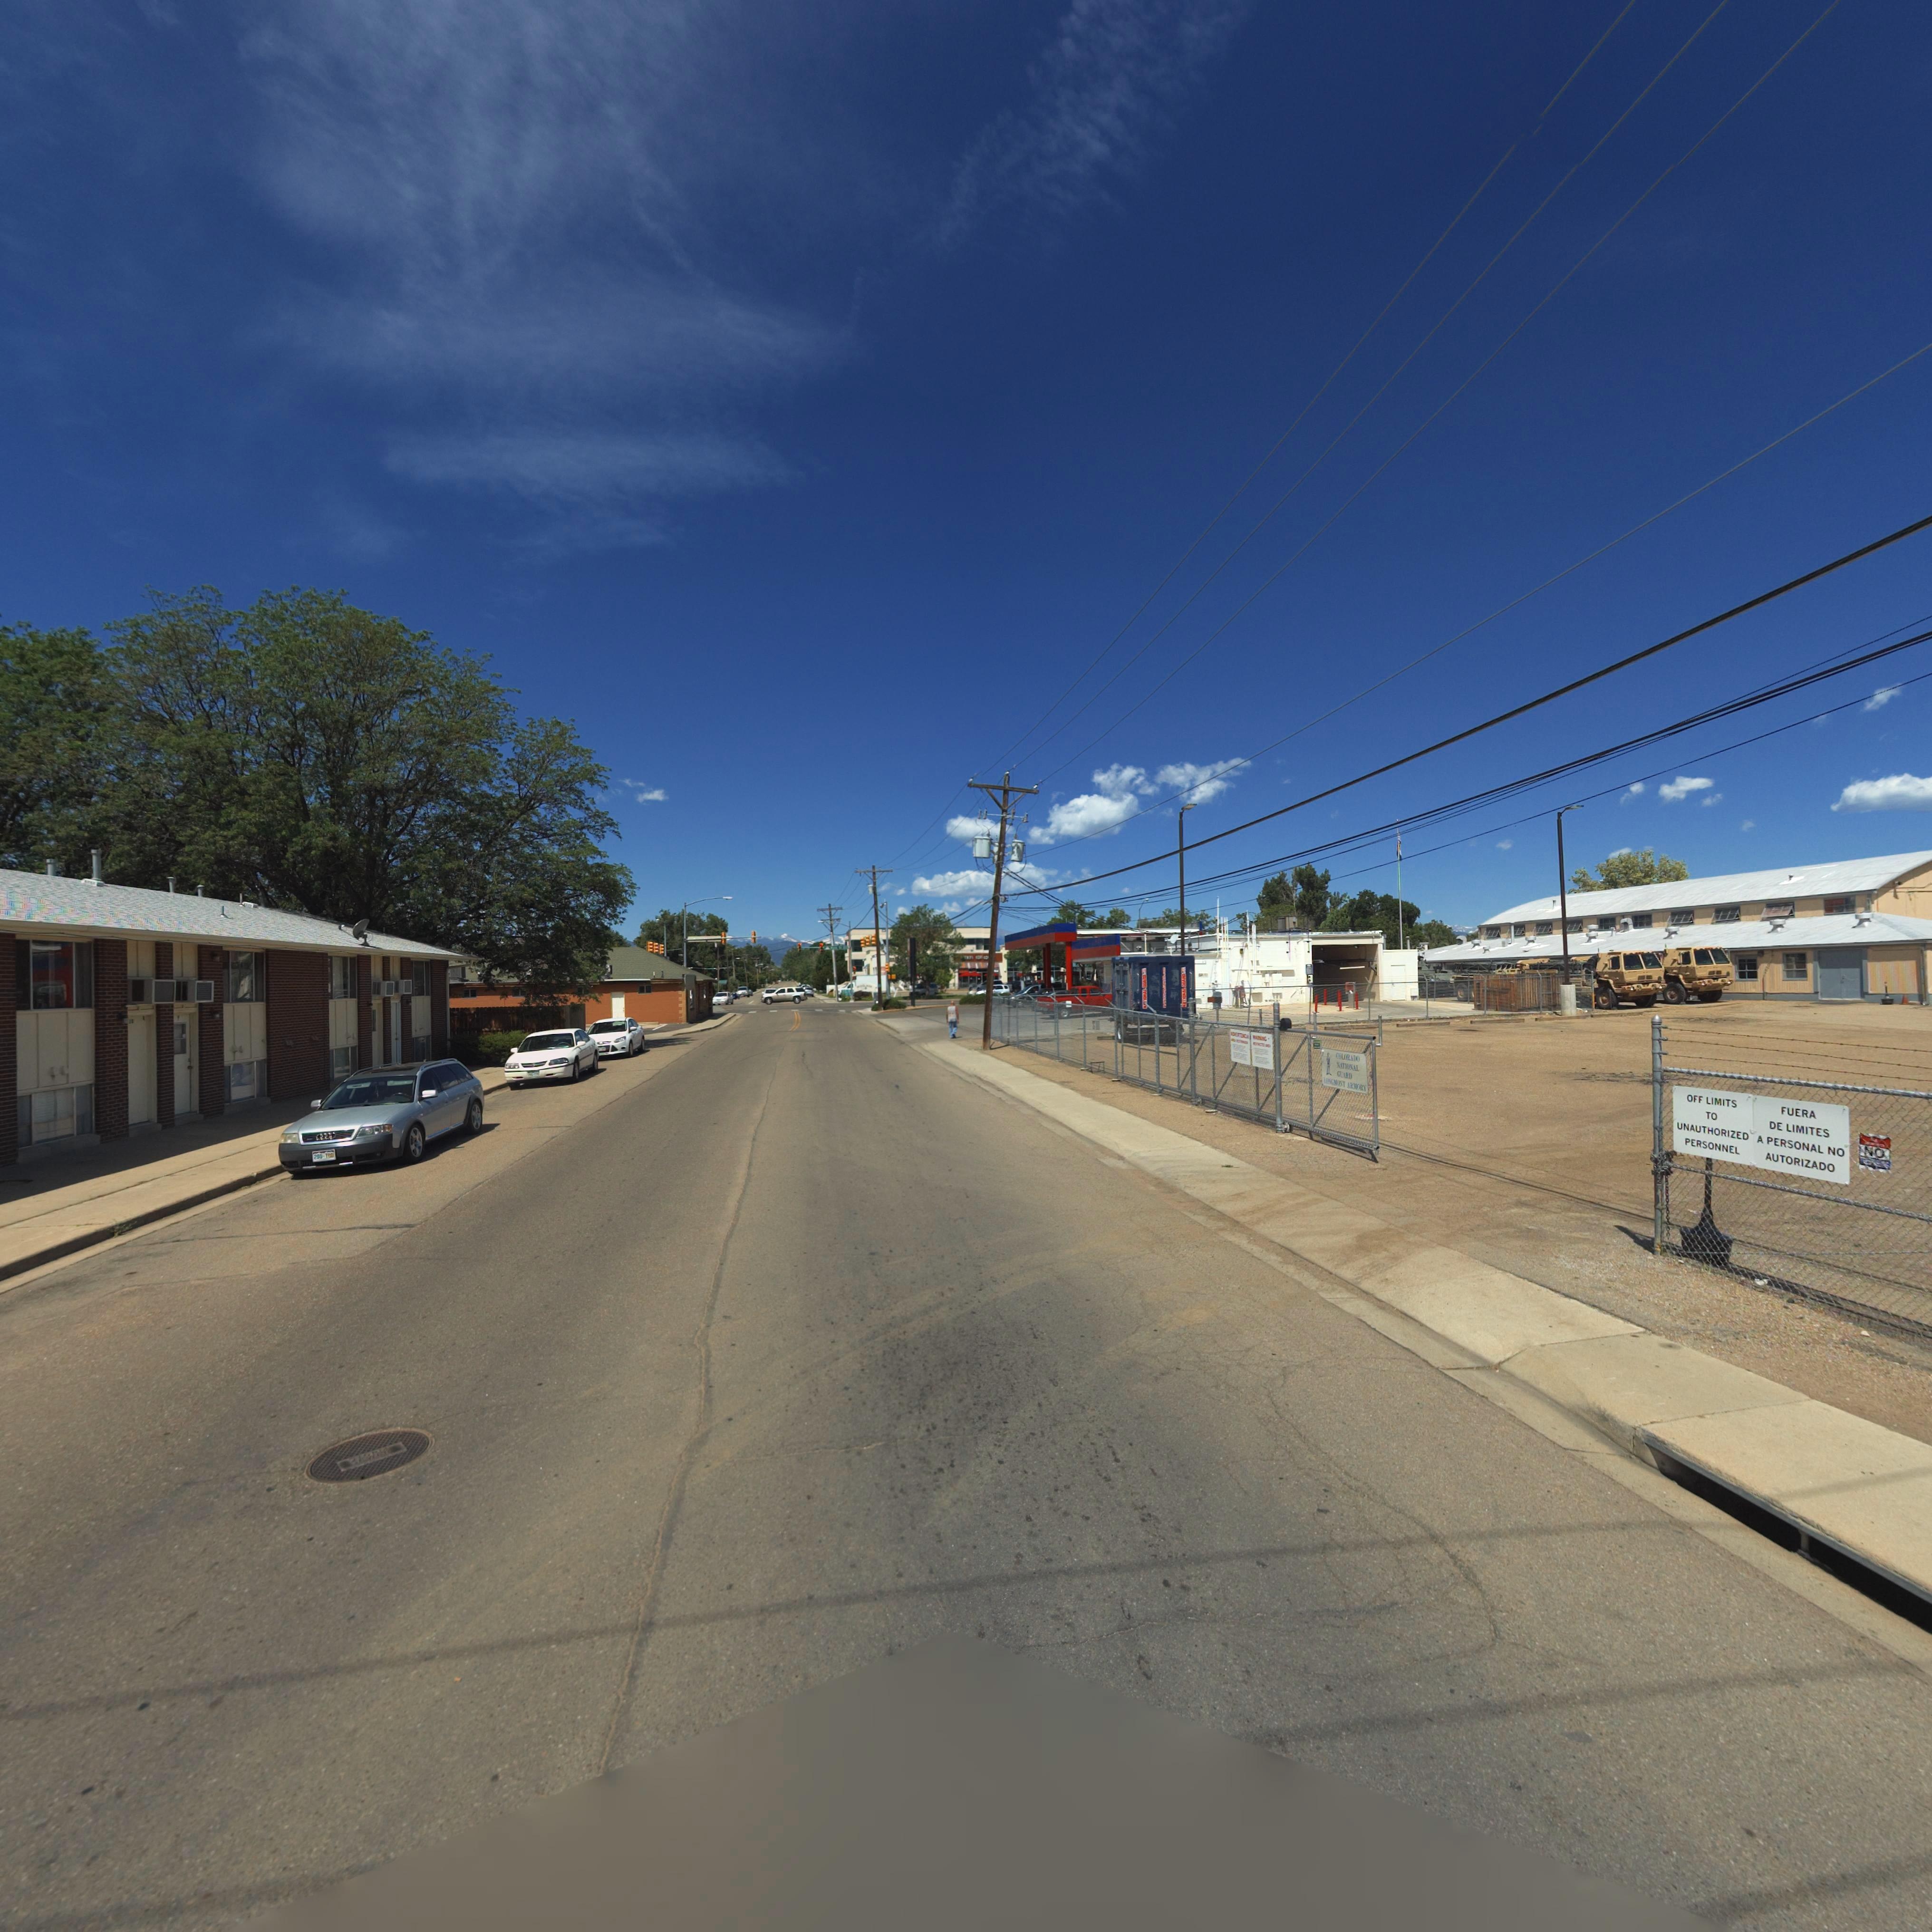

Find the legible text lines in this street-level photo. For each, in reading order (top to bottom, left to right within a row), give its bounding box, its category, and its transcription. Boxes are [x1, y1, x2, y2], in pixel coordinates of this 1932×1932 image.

[1336, 1052, 1360, 1063] BusinessName: COLORADO
[1336, 1062, 1360, 1072] BusinessName: NATIONAL
[1336, 1070, 1352, 1080] BusinessName: GUARD
[1323, 1077, 1367, 1092] BusinessName: LONGMONT ARMORY